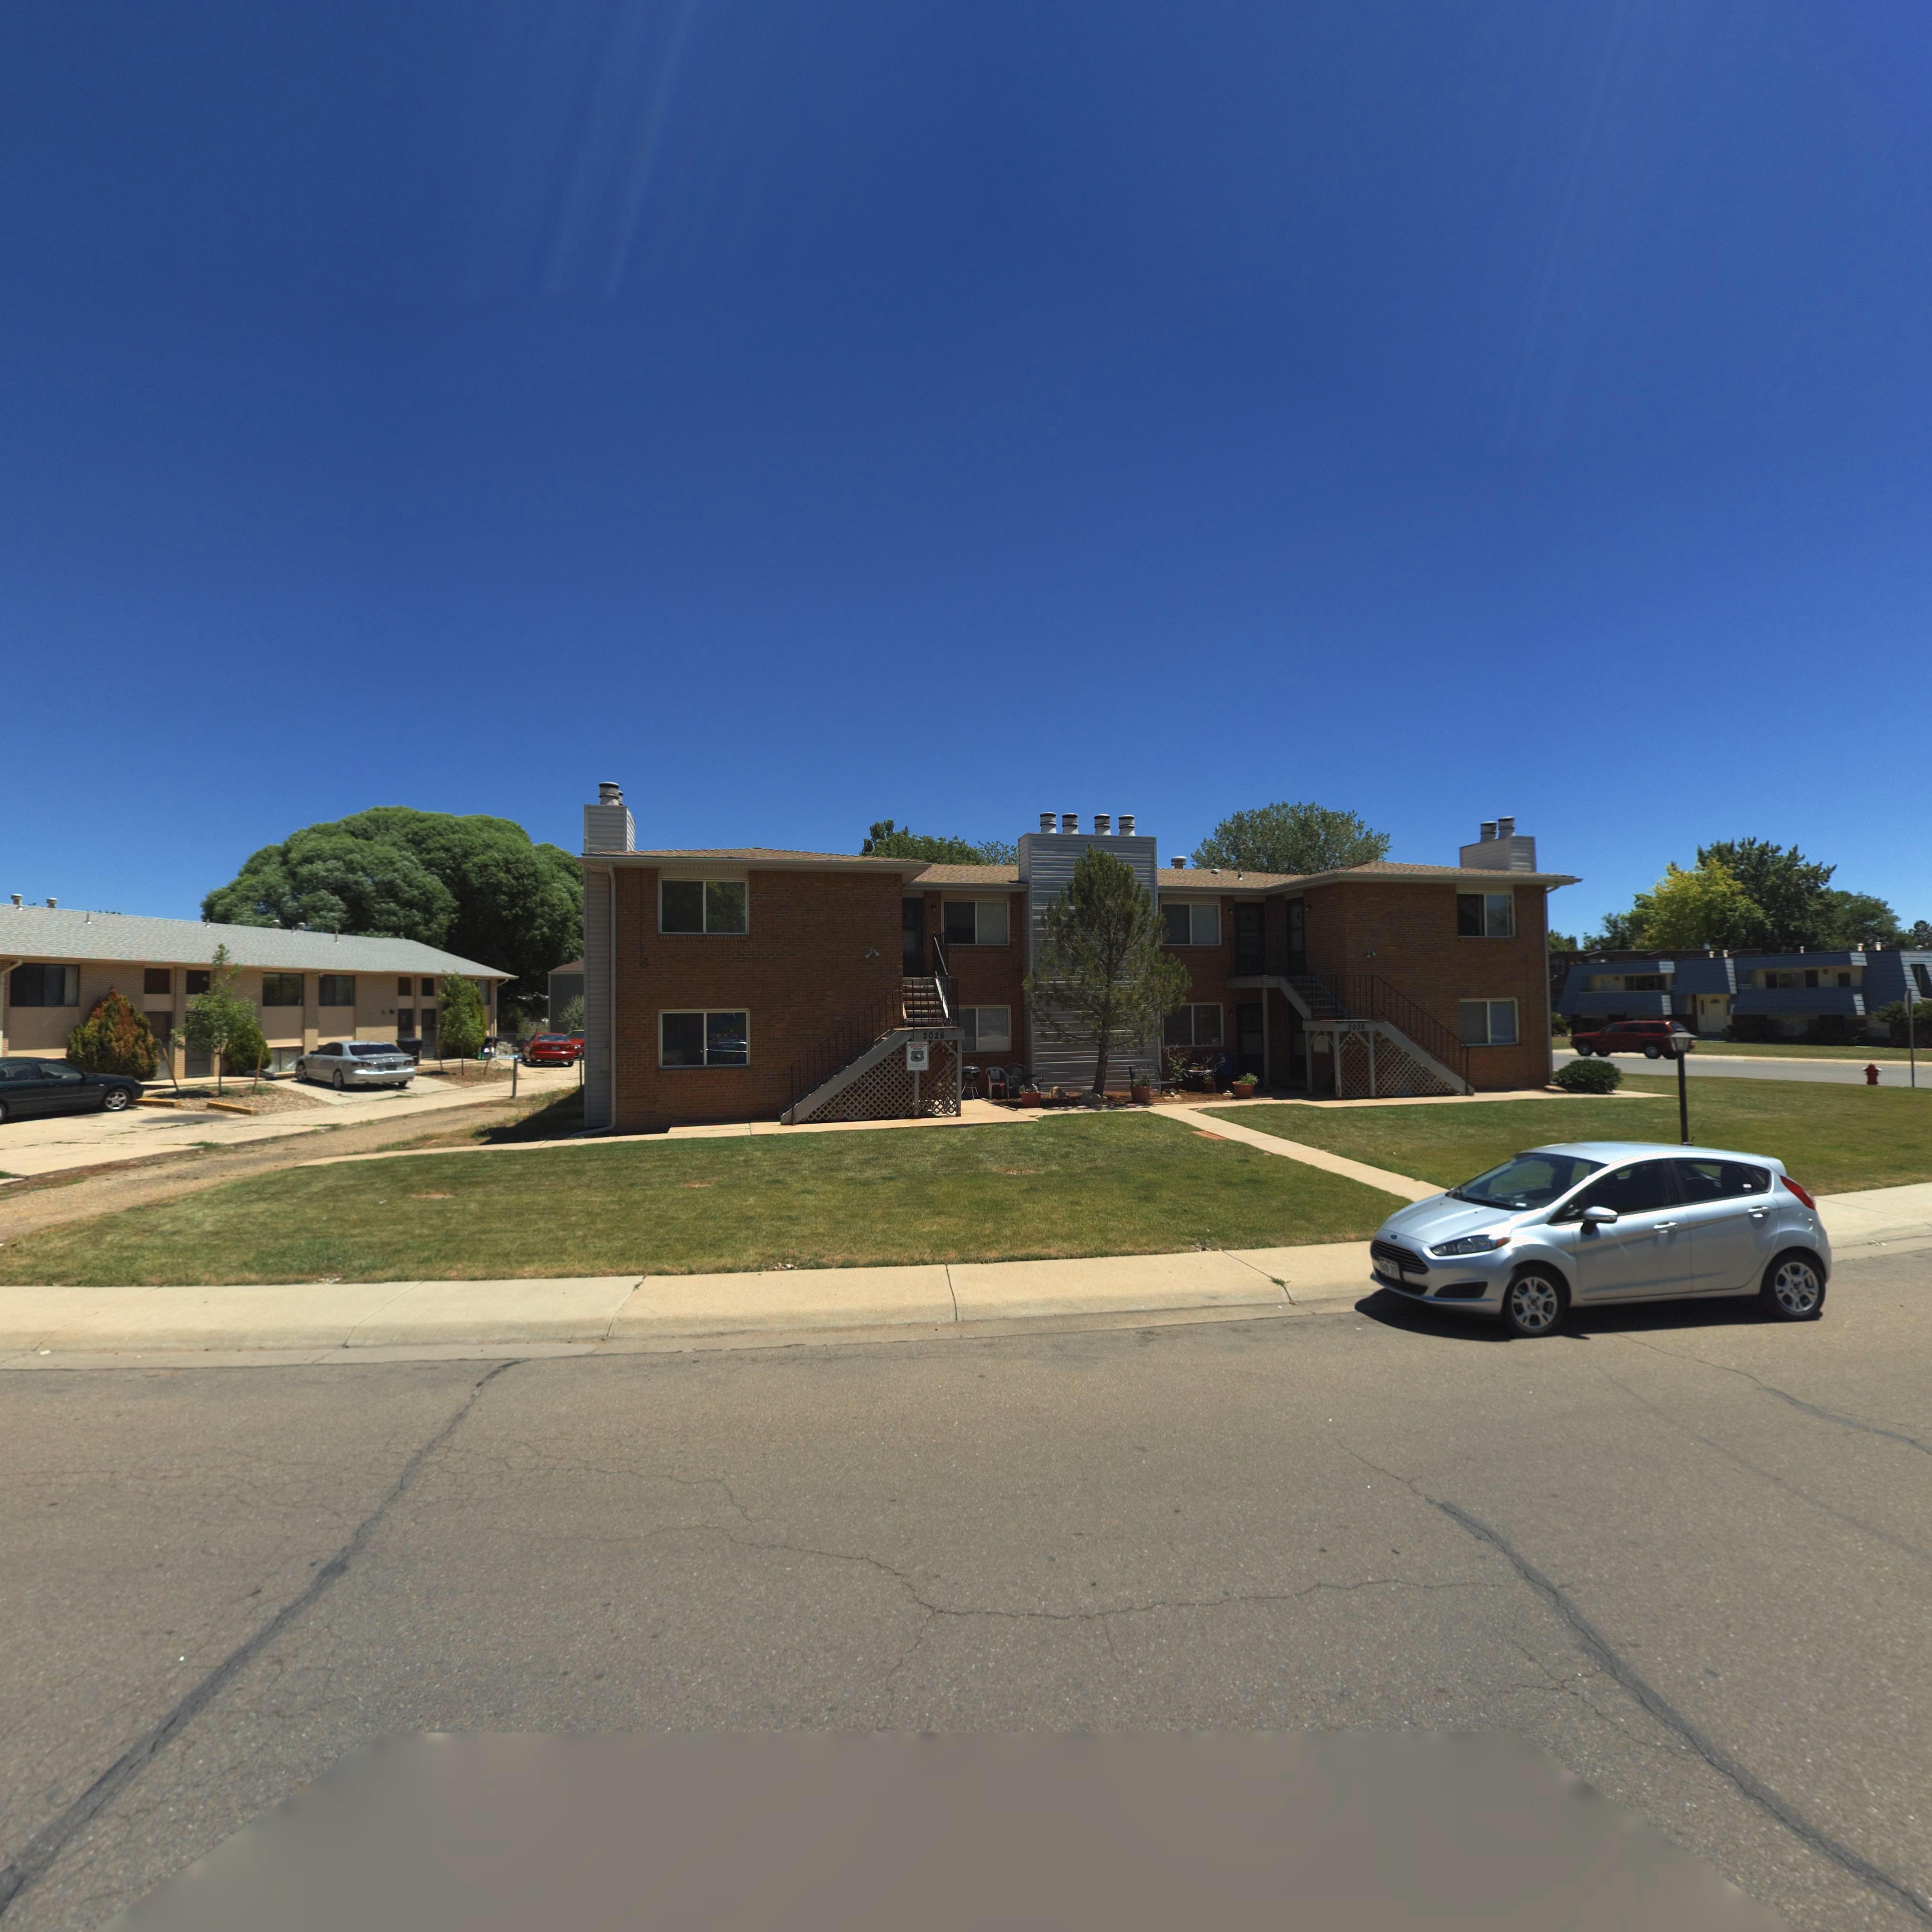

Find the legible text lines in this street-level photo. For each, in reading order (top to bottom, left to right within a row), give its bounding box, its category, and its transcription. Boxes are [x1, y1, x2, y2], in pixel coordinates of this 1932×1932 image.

[1347, 1024, 1365, 1030] StreetNumber: 2028
[923, 1032, 944, 1039] StreetNumber: 2028